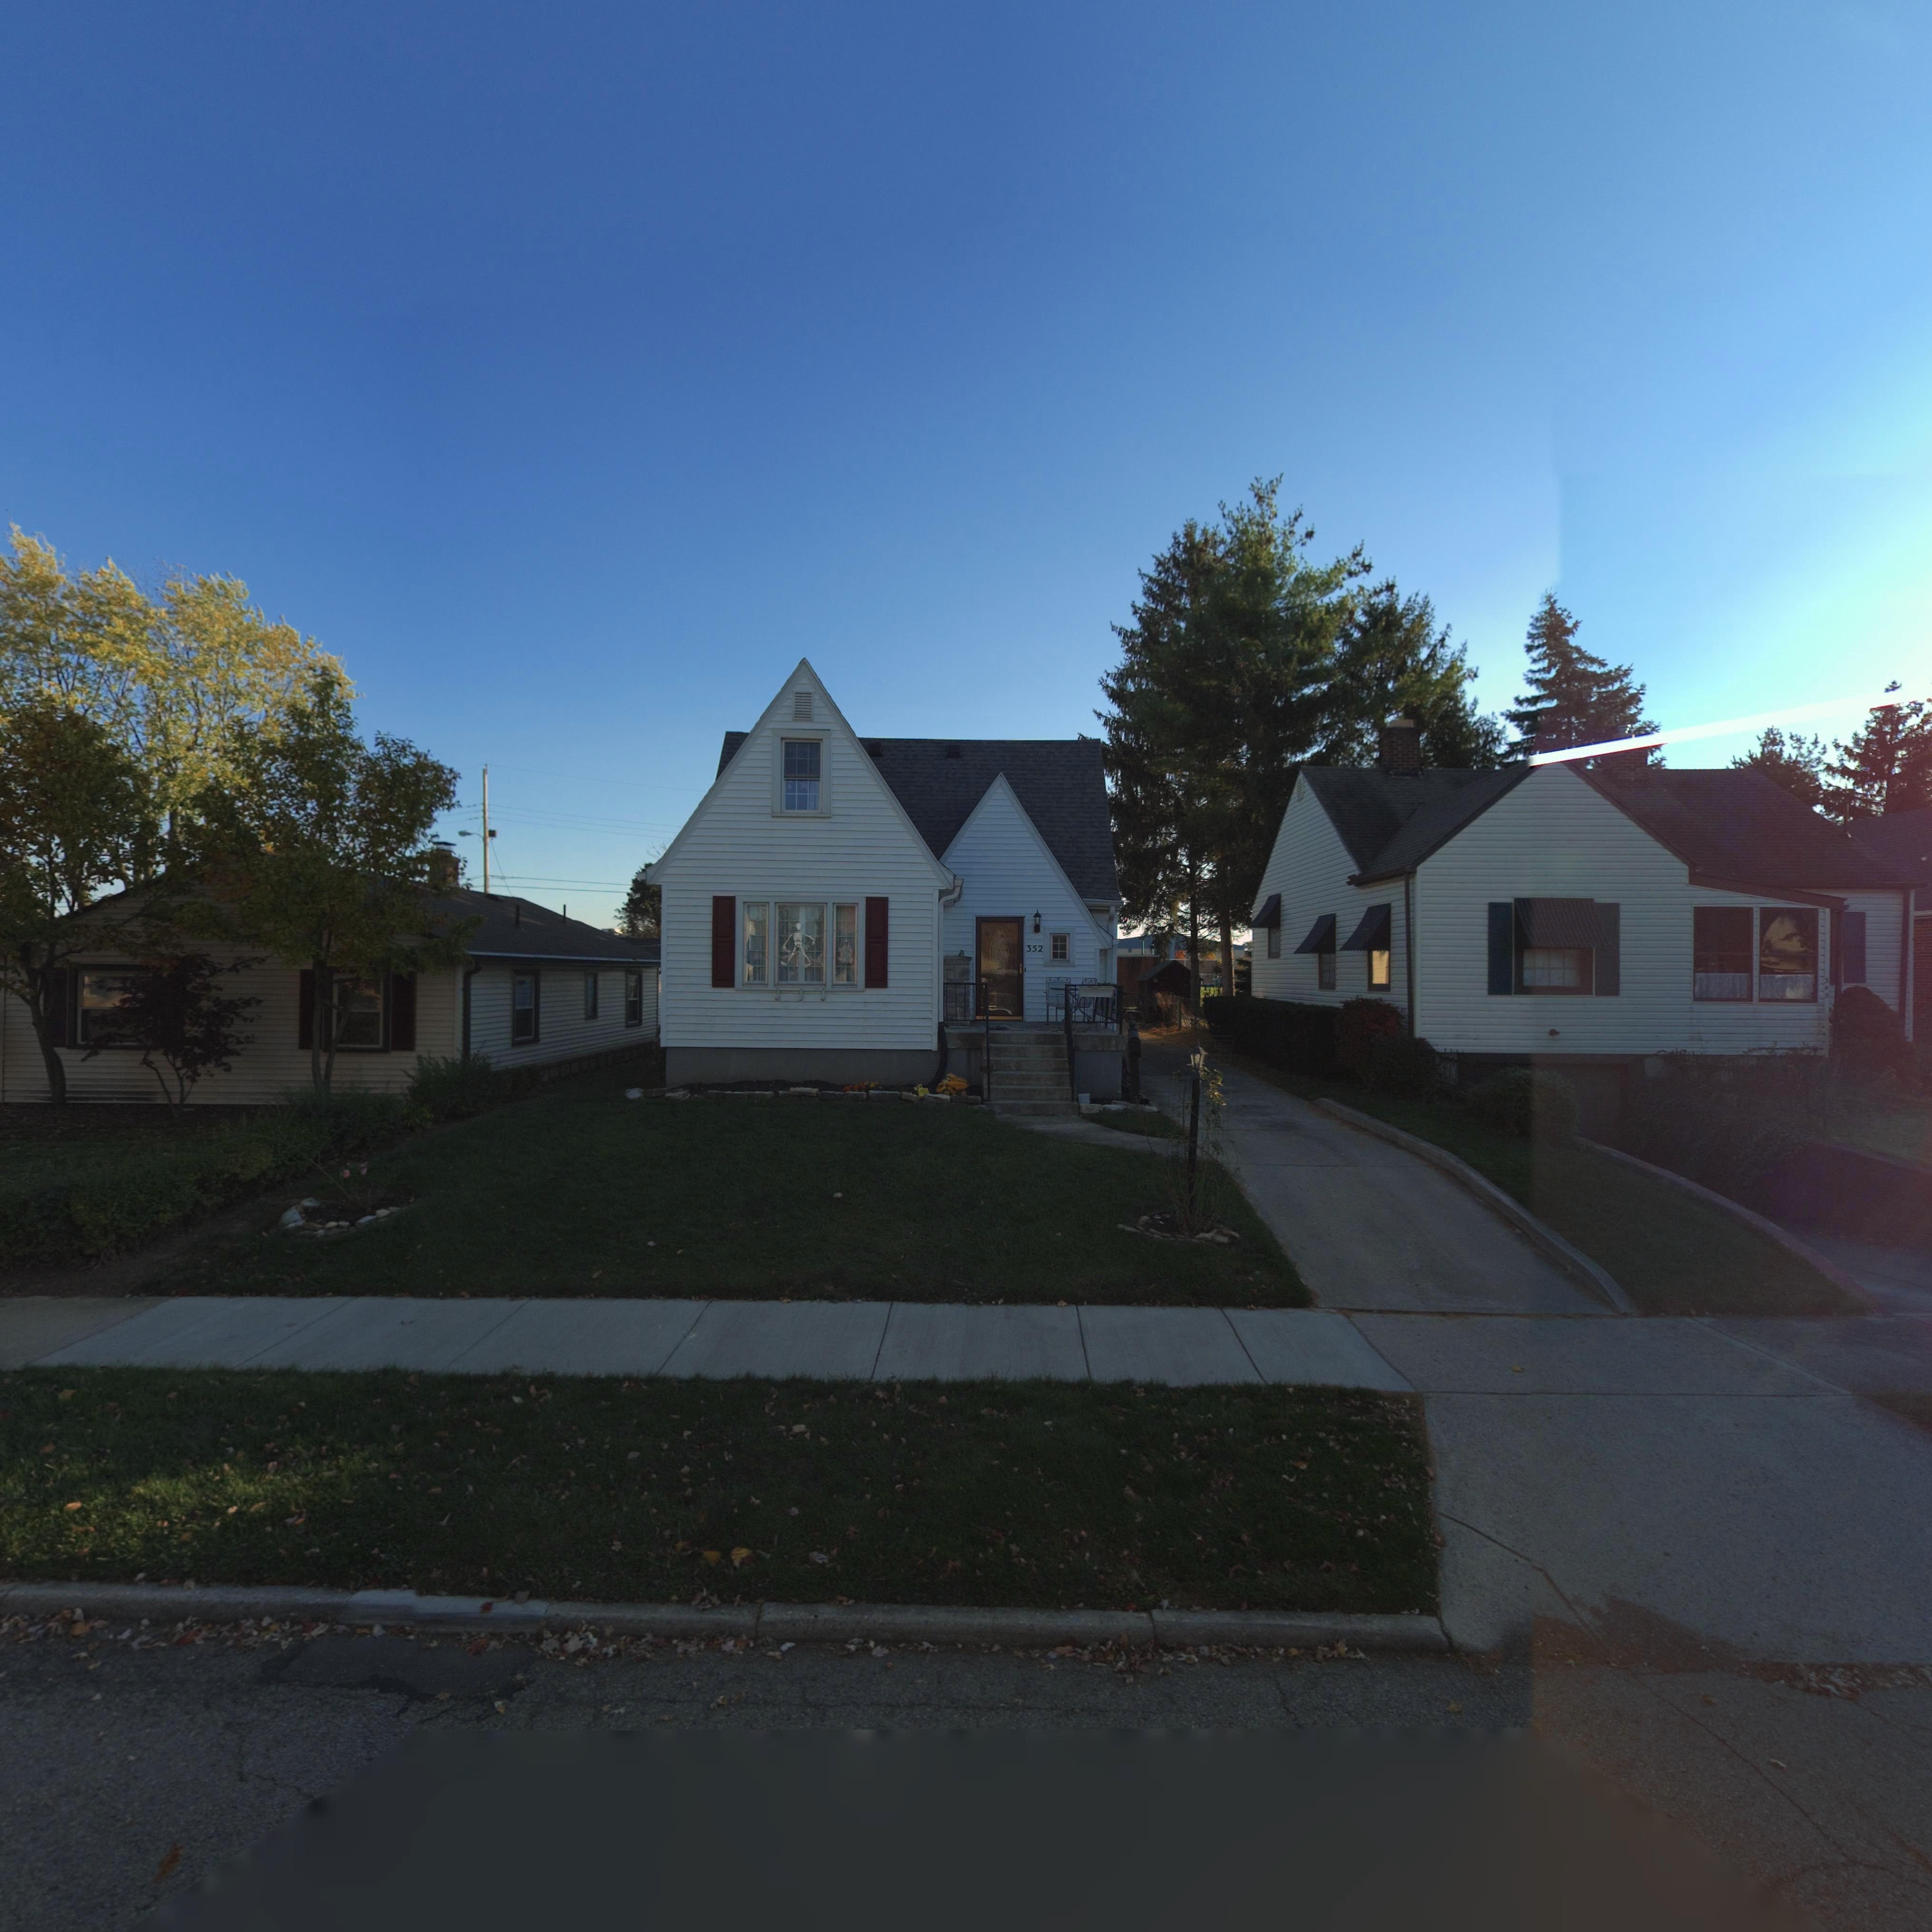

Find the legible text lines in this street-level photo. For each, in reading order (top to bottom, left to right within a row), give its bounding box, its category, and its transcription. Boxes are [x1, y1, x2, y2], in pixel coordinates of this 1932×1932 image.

[1025, 944, 1043, 953] StreetNumber: 352
[1824, 976, 1830, 1000] StreetNumber: 3*8